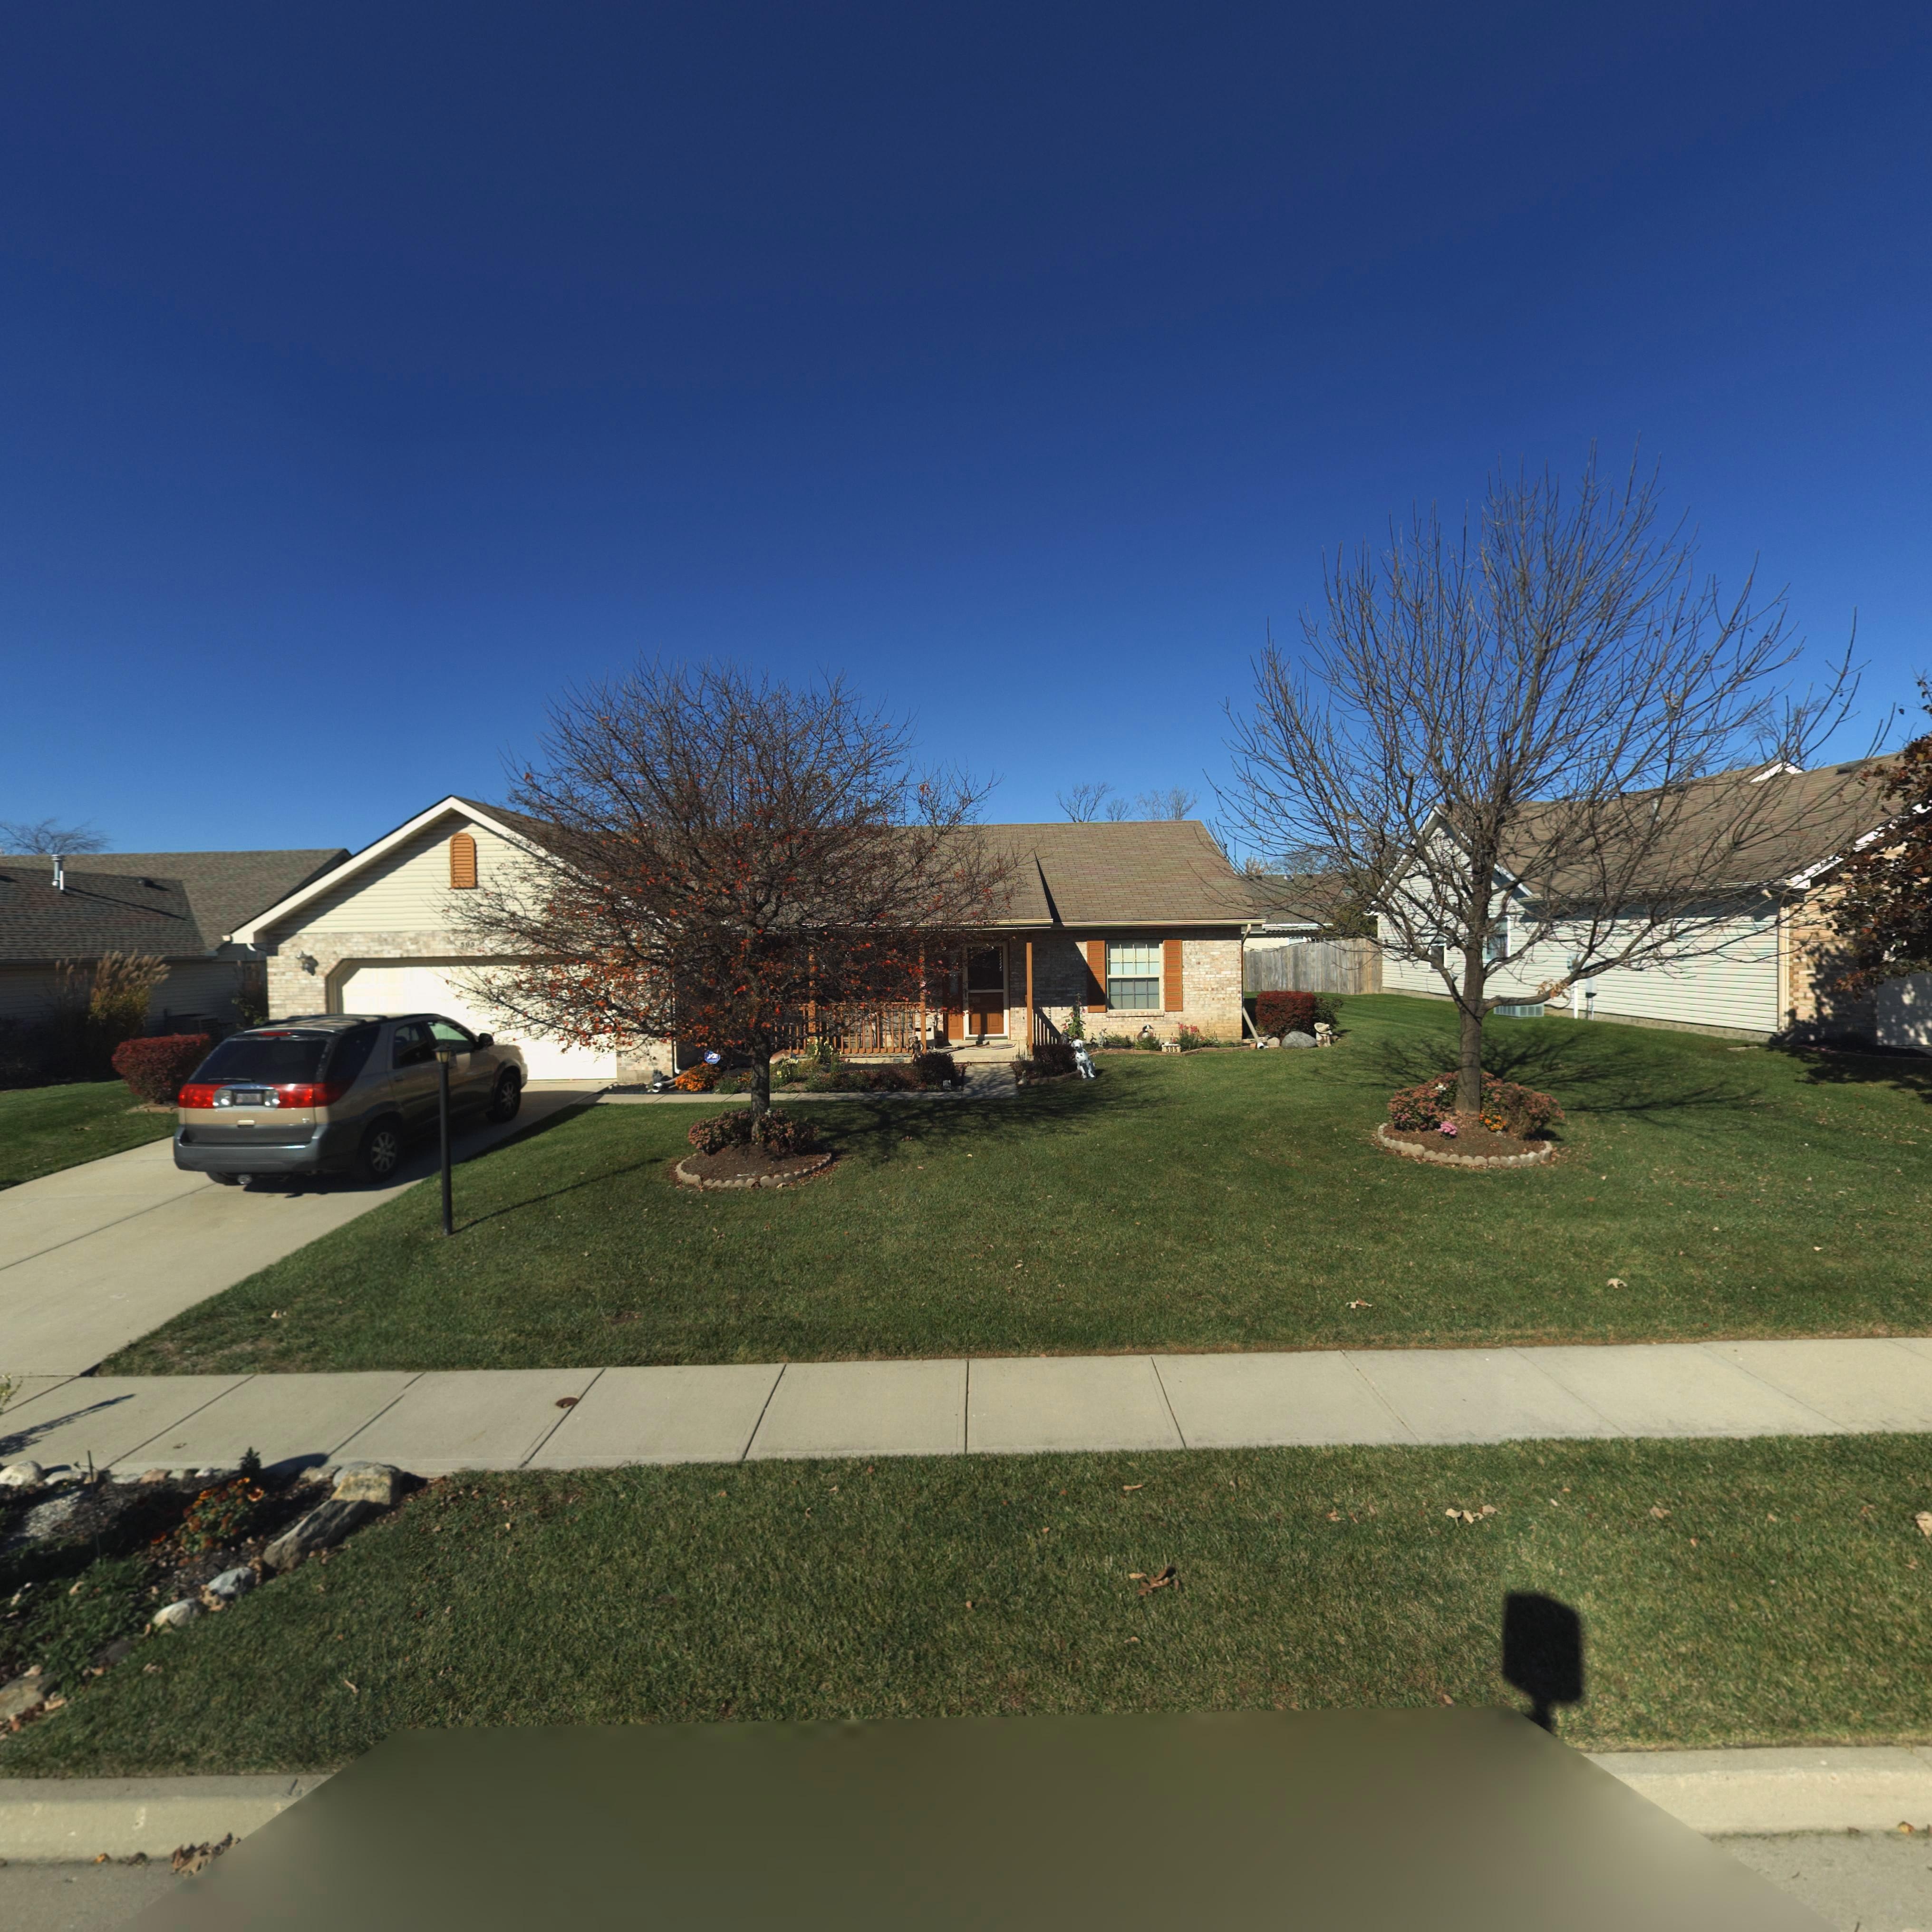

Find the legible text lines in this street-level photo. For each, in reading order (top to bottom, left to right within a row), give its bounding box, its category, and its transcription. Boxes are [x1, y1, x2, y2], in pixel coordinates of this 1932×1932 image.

[1165, 1045, 1178, 1053] StreetNumber: 505